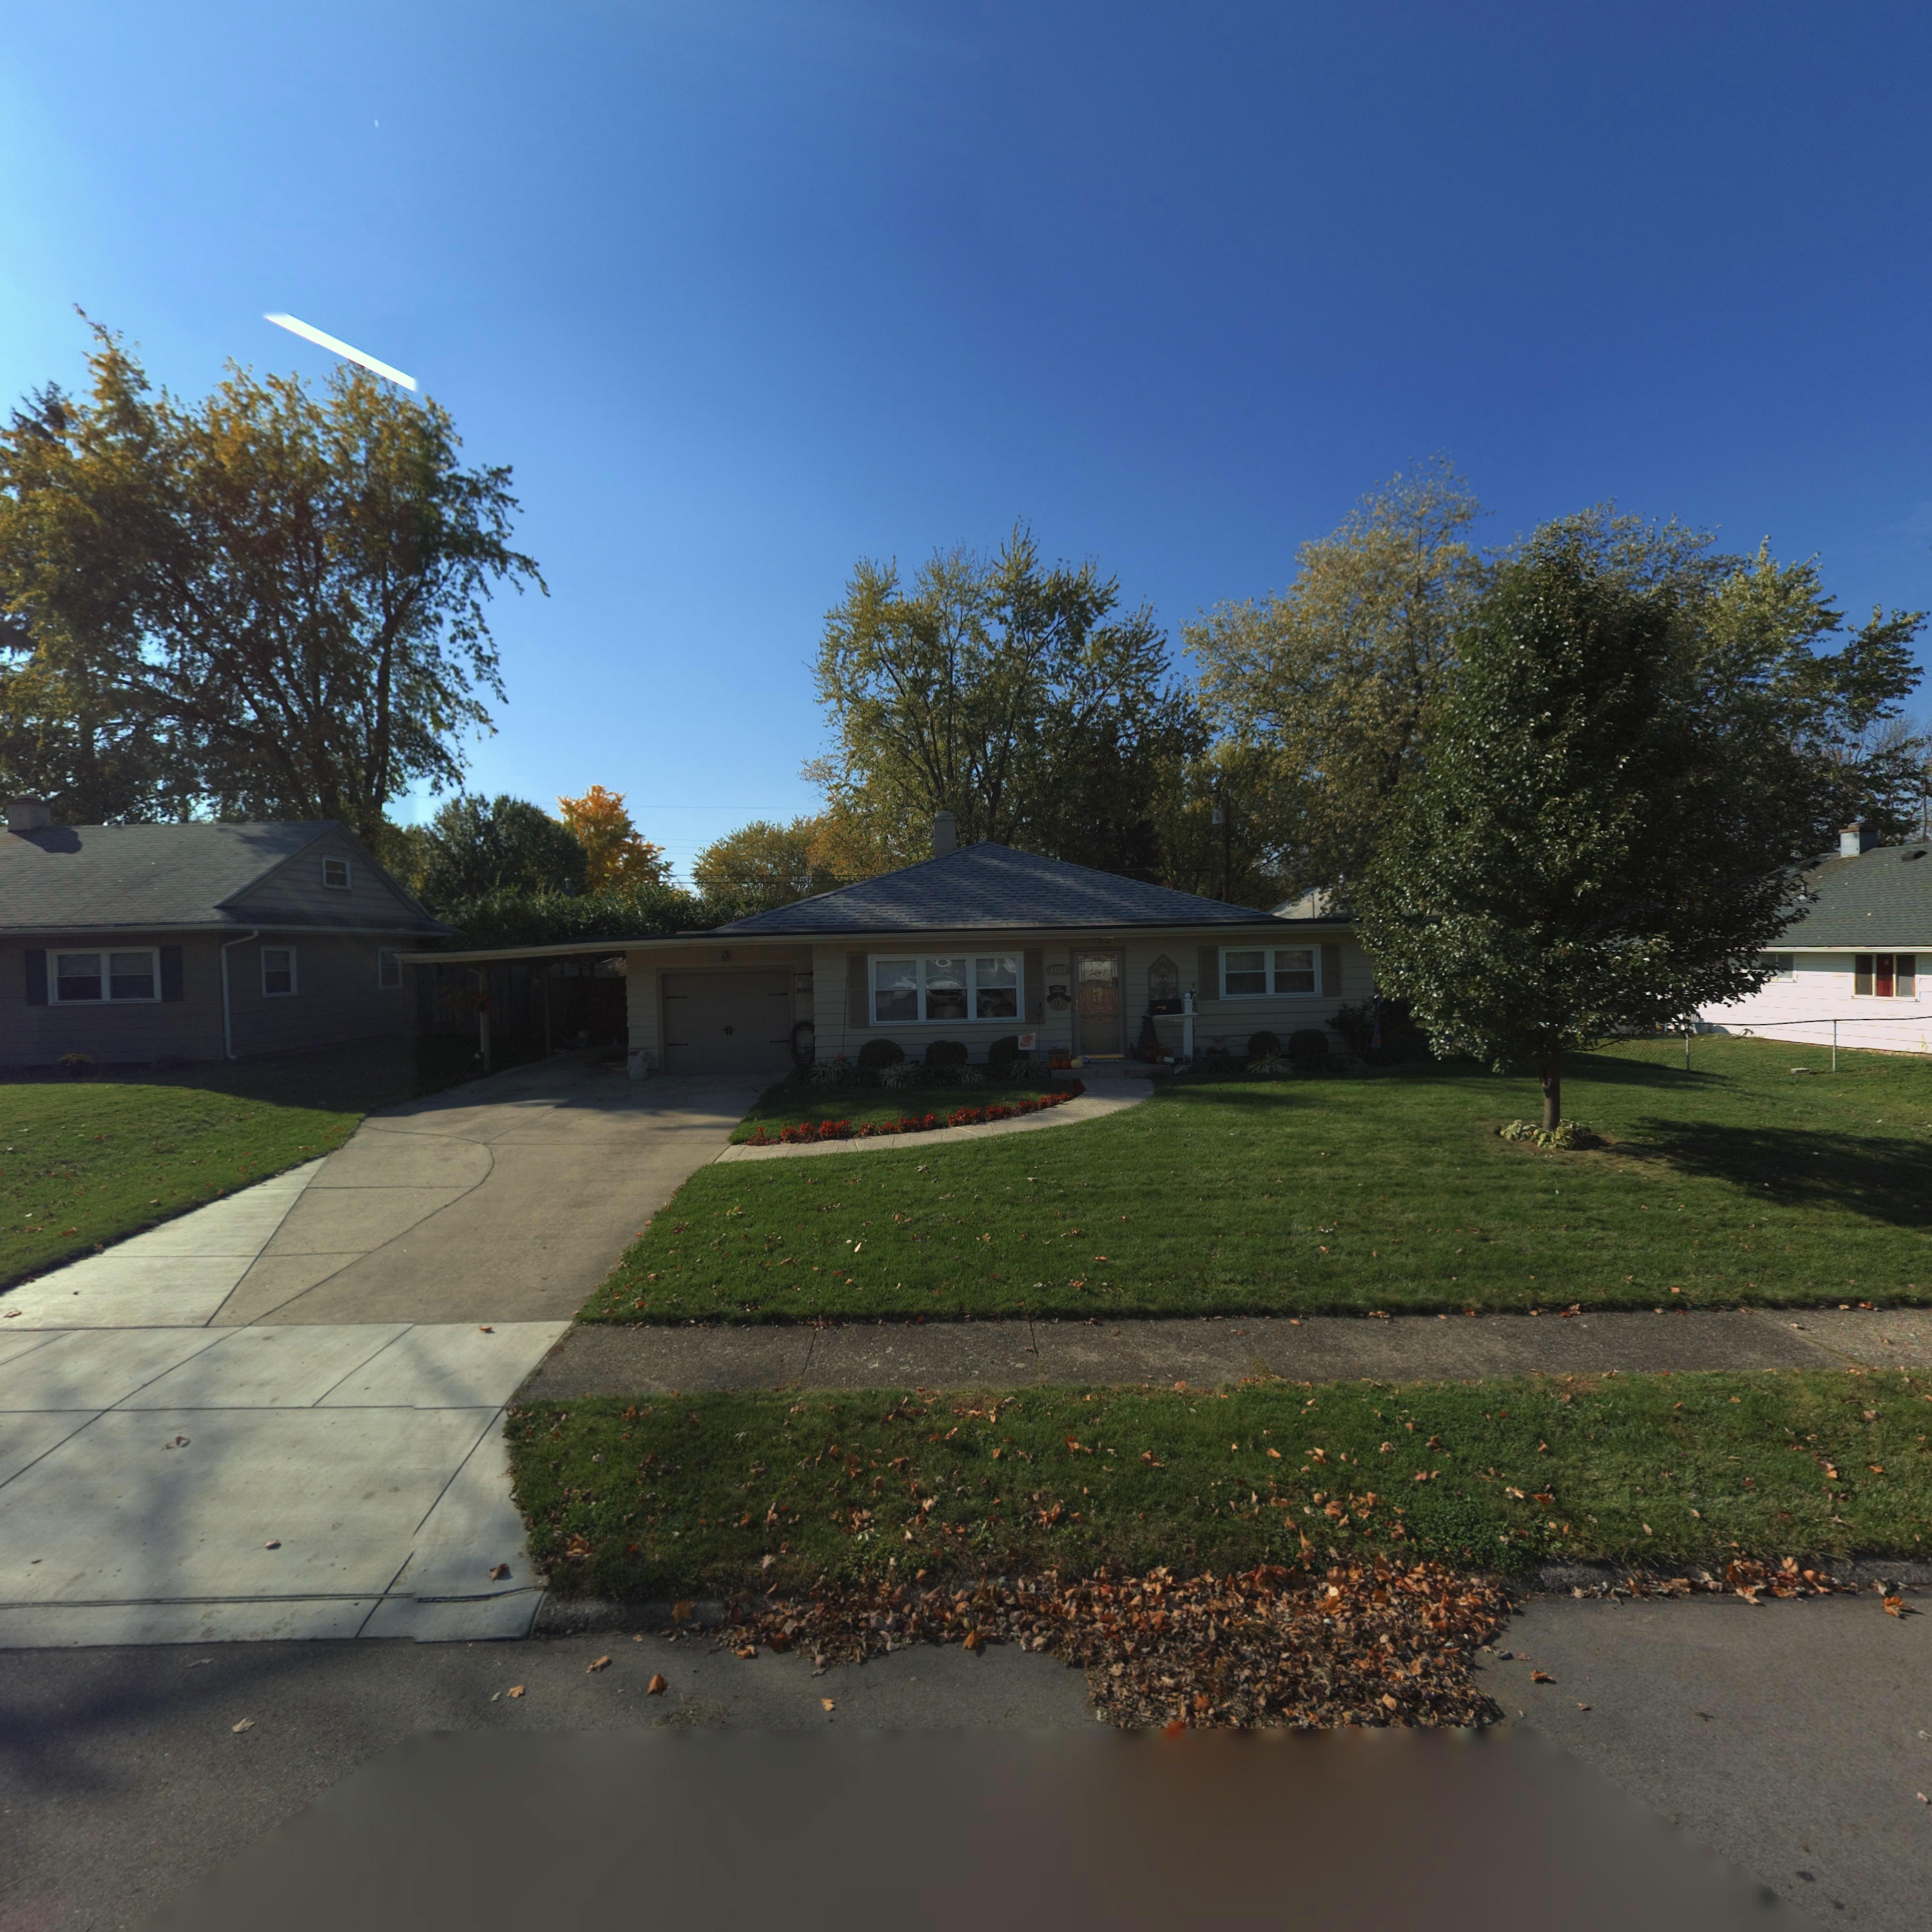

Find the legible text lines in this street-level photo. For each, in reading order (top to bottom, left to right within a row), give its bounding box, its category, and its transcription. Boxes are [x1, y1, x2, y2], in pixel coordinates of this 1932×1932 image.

[1049, 966, 1067, 974] StreetNumber: 3707